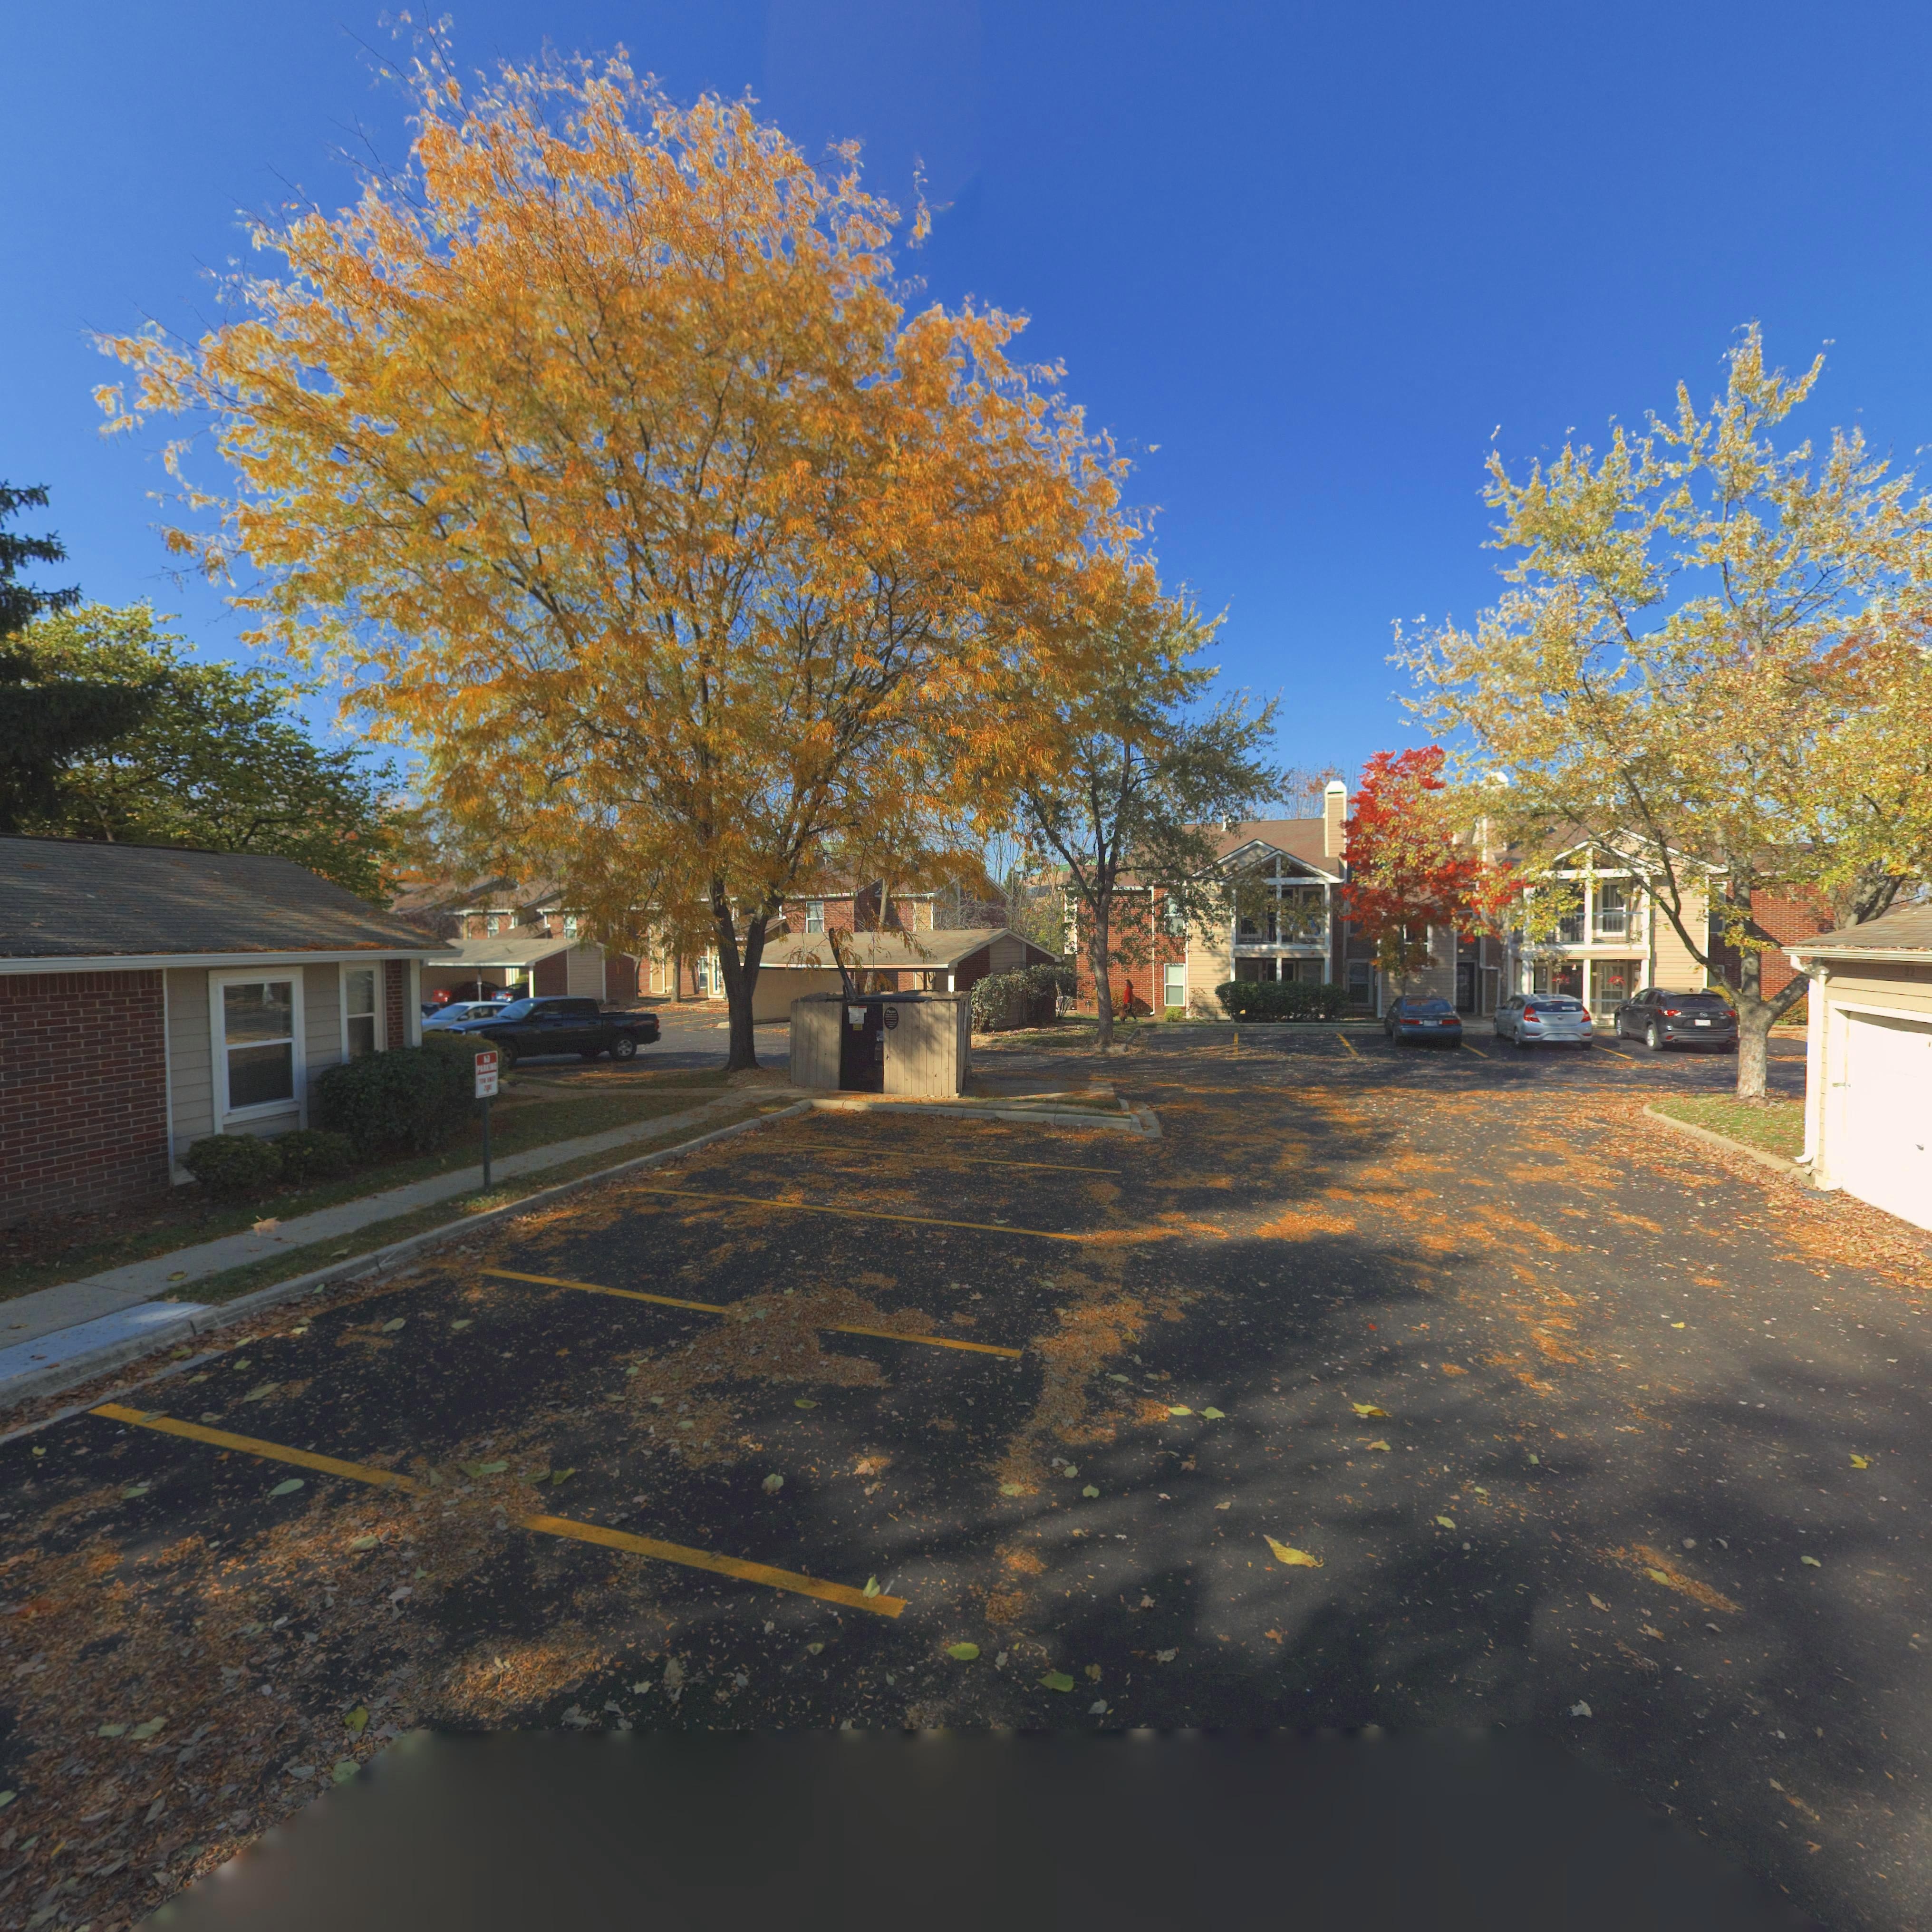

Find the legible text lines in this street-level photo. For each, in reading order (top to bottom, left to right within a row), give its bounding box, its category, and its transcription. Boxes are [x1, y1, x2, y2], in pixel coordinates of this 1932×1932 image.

[1903, 966, 1916, 977] StreetNumber: 22